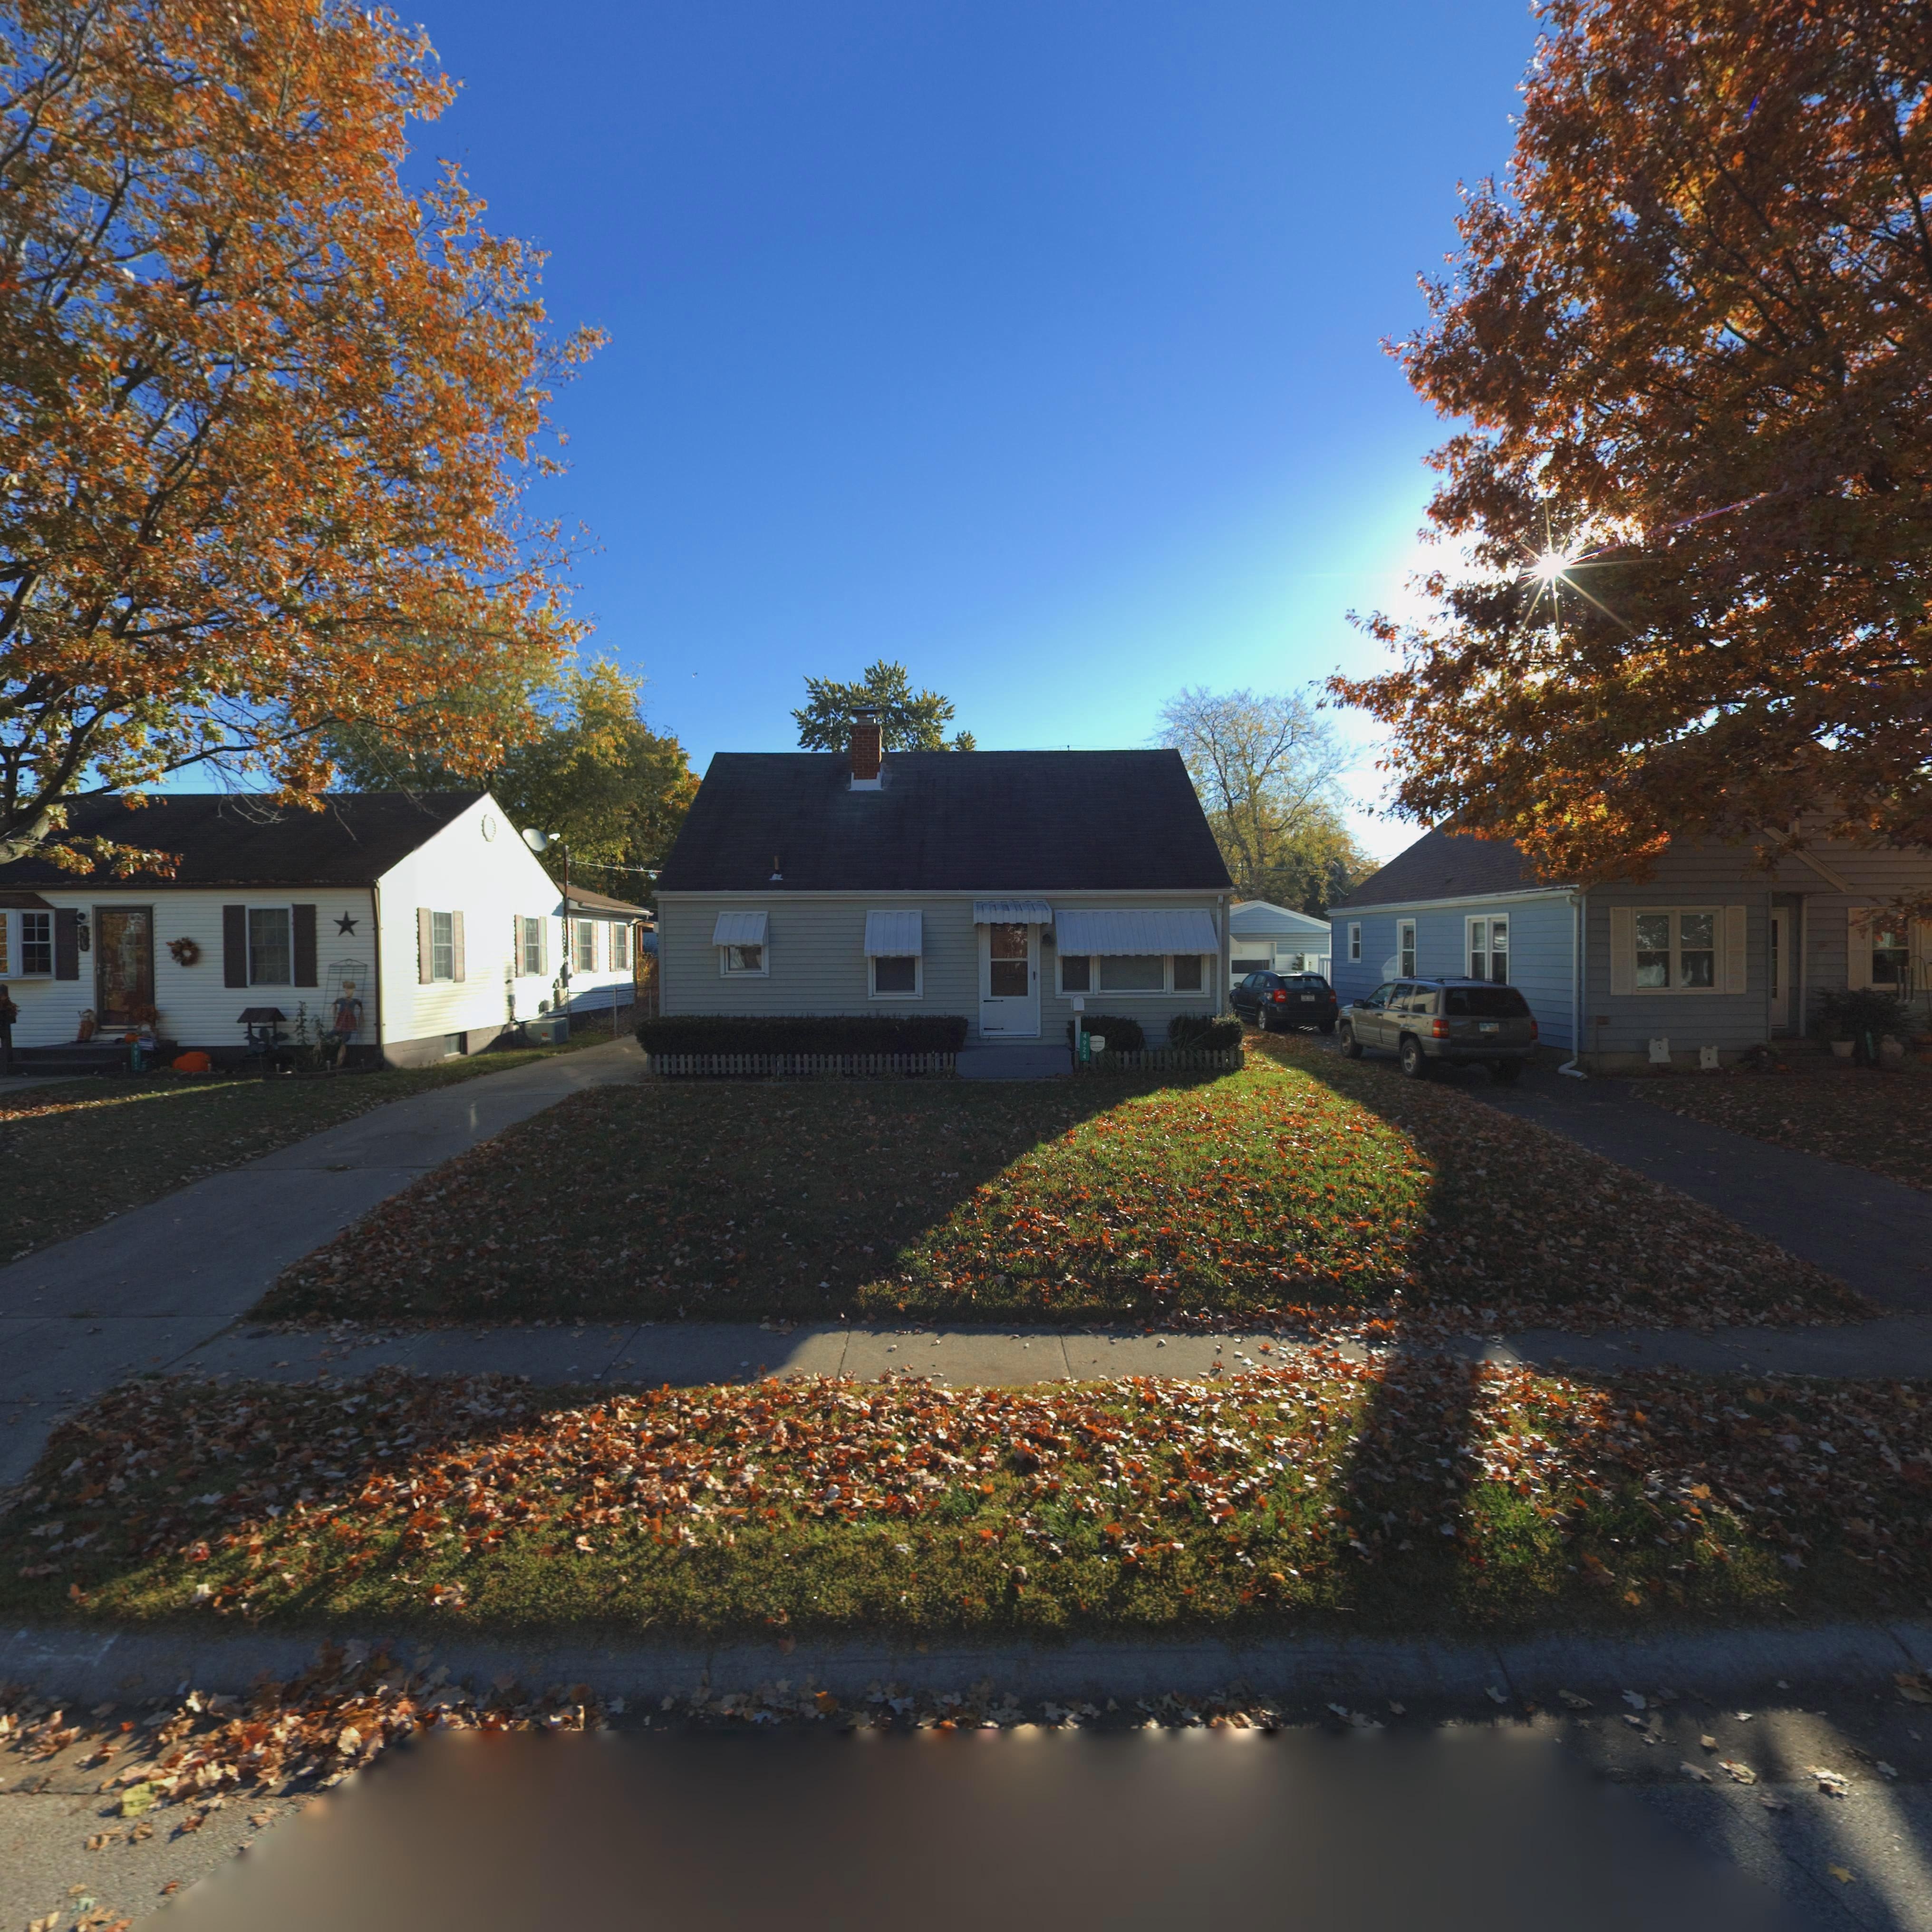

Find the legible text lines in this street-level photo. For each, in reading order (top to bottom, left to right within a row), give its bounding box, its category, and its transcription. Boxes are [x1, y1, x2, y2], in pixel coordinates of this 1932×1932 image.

[133, 1043, 138, 1070] StreetNumber: 491*
[1082, 1033, 1087, 1059] StreetNumber: 4924